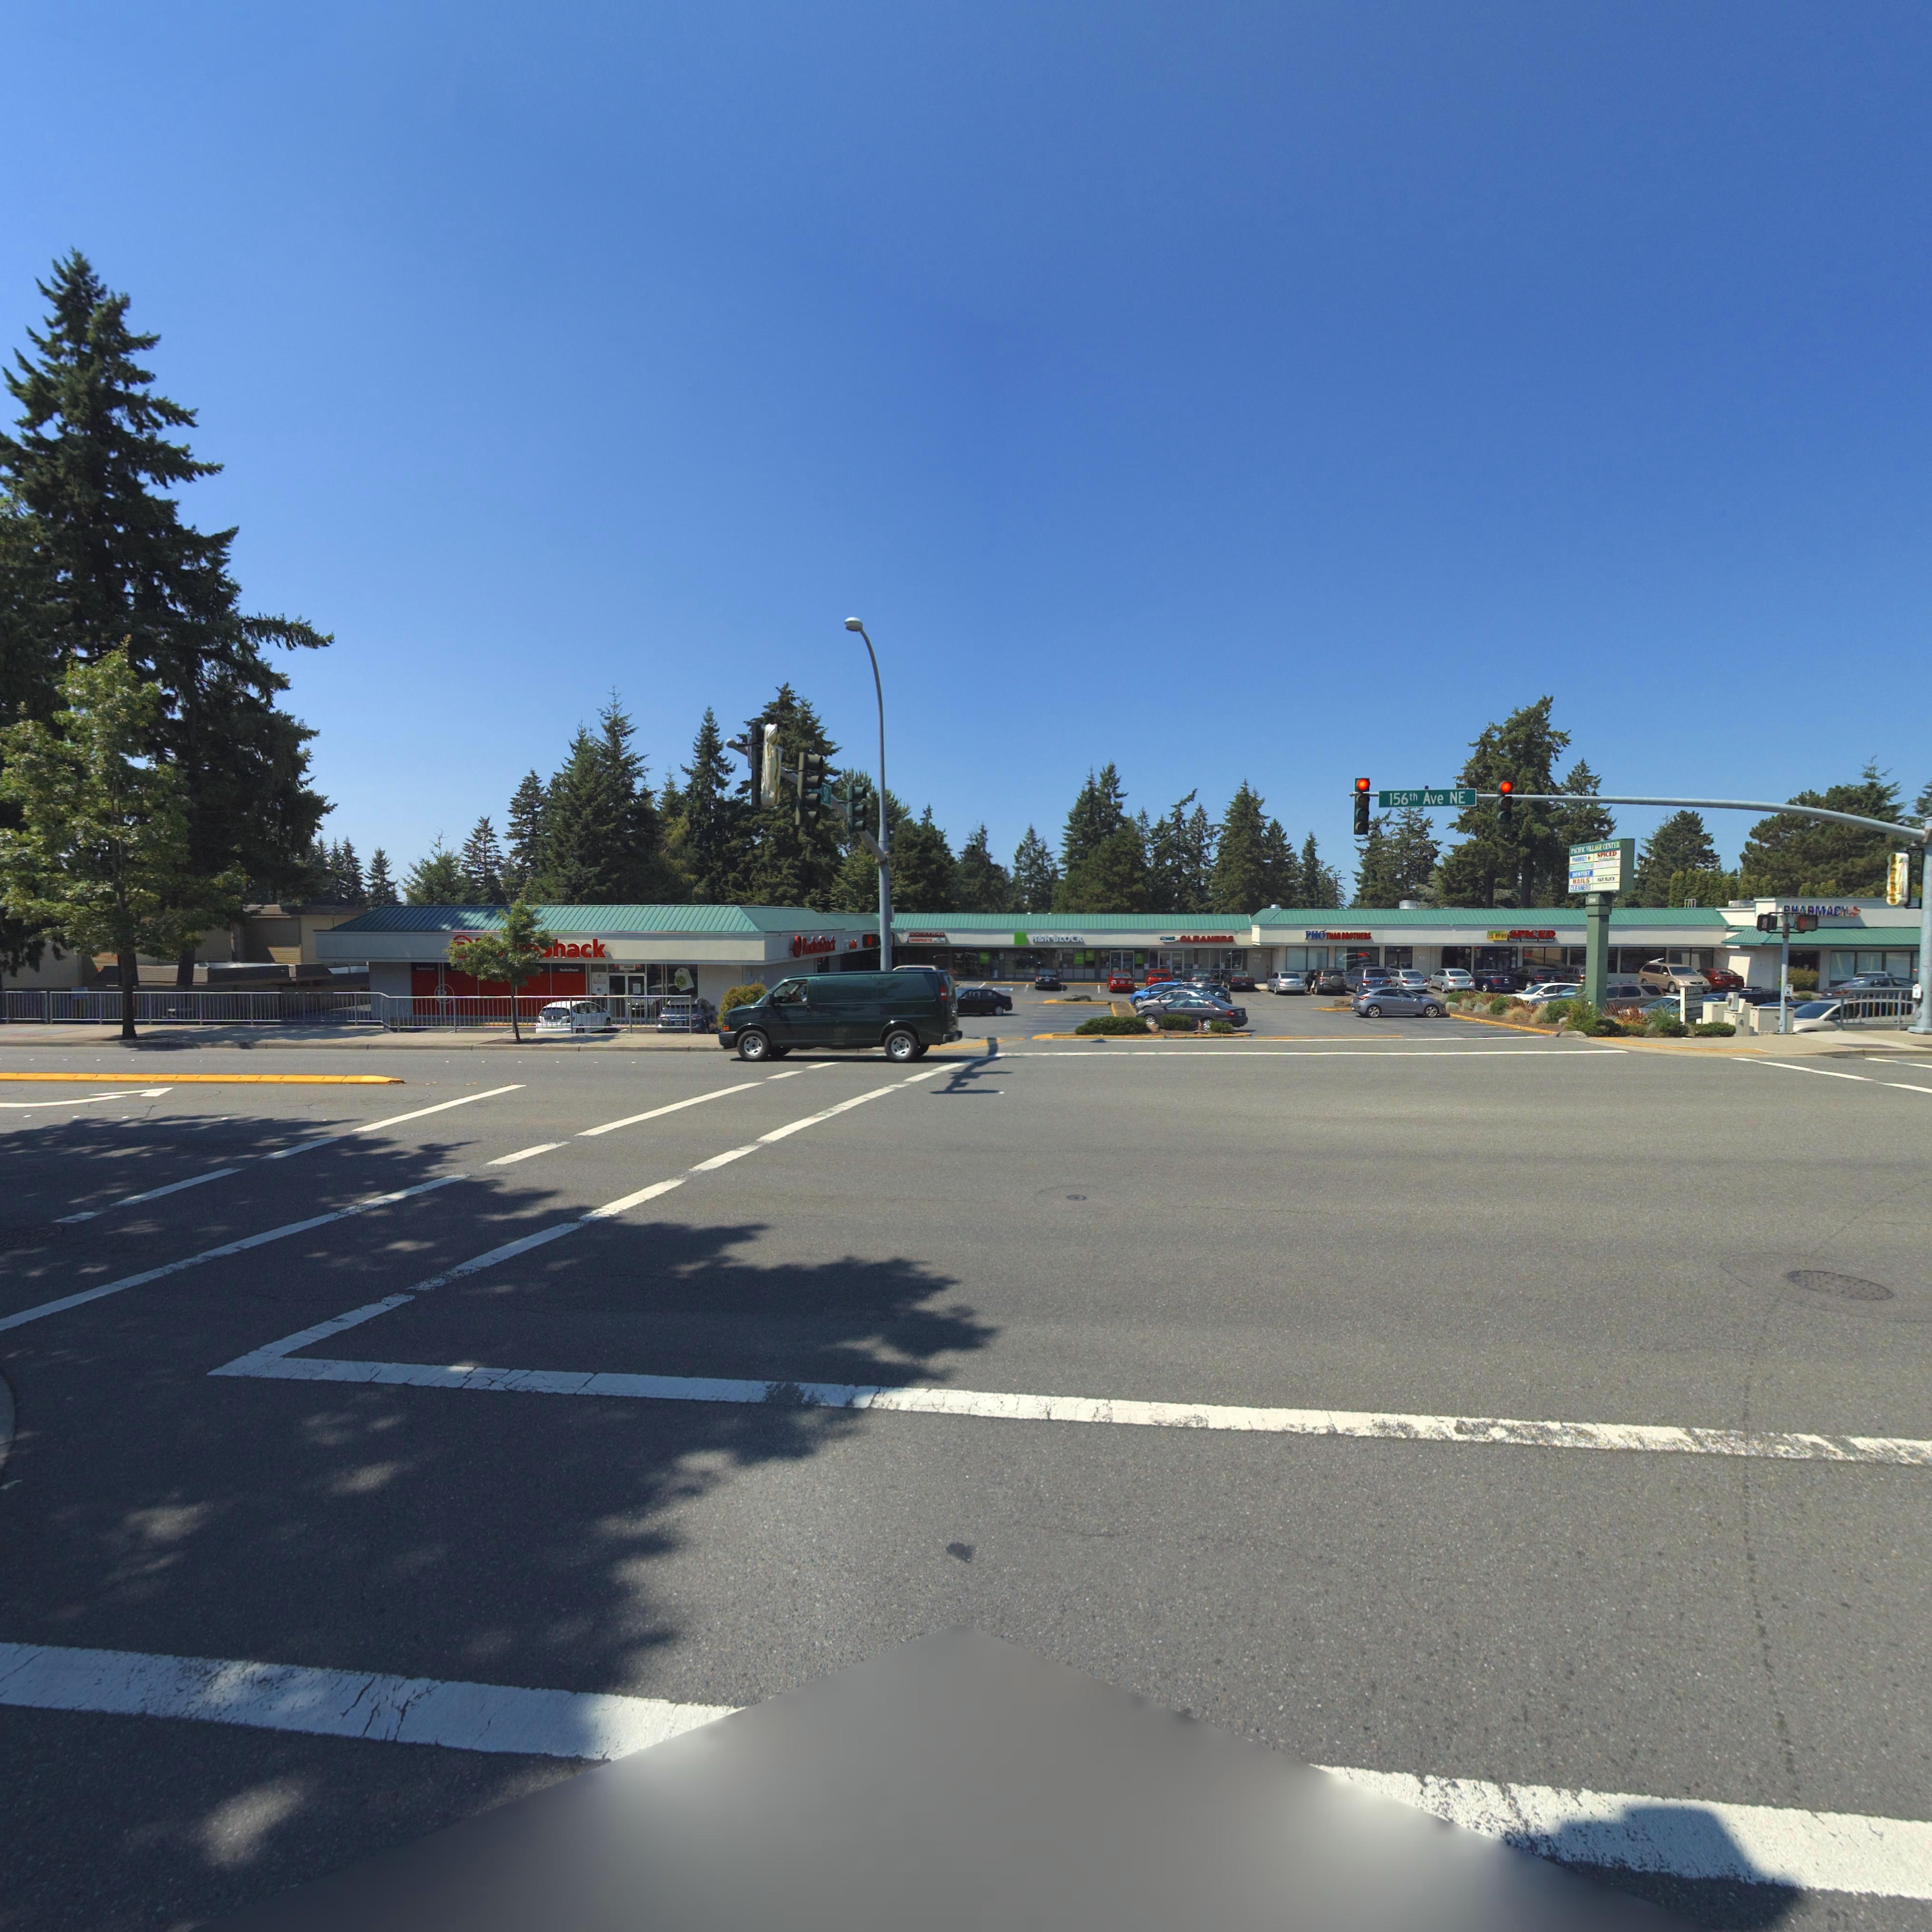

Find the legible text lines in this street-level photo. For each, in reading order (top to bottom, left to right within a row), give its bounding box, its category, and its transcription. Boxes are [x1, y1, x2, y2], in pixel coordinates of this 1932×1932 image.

[1388, 790, 1466, 806] StreetName: 156th Ave NE
[1596, 850, 1617, 858] BusinessName: SPICED
[1780, 903, 1849, 917] BusinessName: ***RMACY
[1031, 934, 1083, 942] BusinessName: H*R BLOCK
[1179, 935, 1234, 942] BusinessName: CLEANERS
[1304, 928, 1327, 939] BusinessName: PH*
[1325, 931, 1371, 939] BusinessName: T*AN BROTHERS
[1509, 929, 1555, 938] BusinessName: SPICED
[552, 938, 608, 958] BusinessName: hack